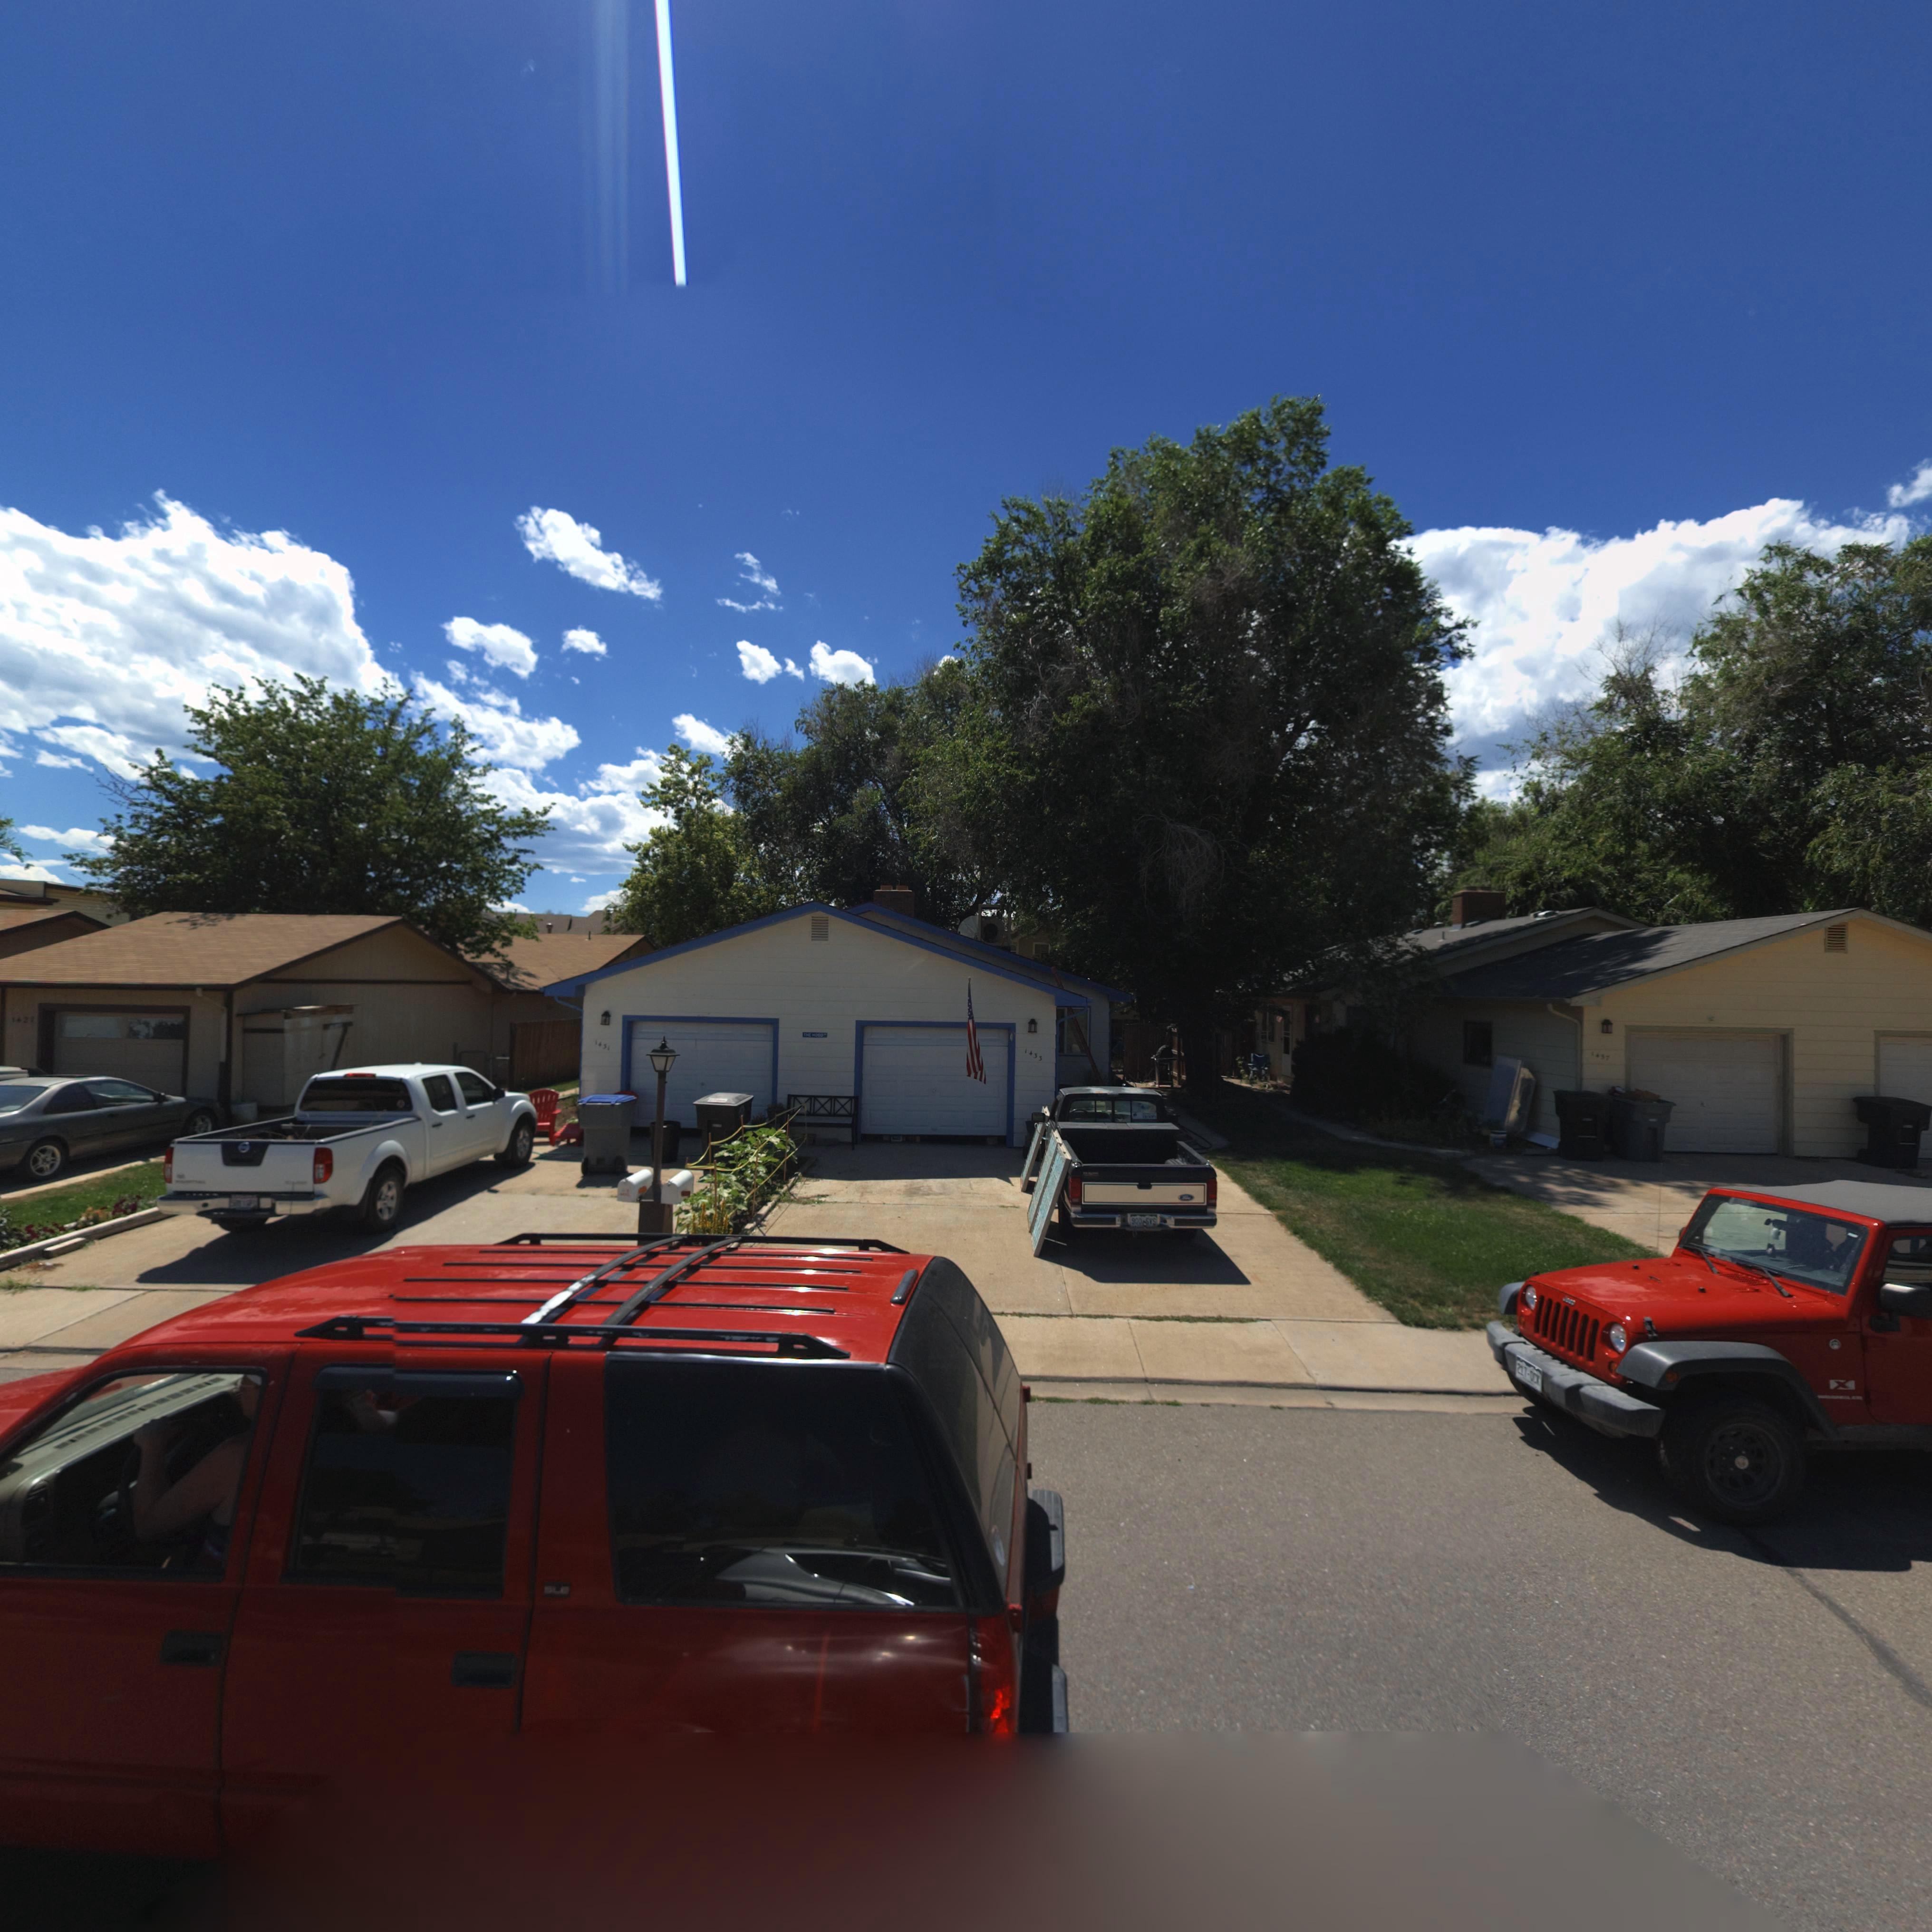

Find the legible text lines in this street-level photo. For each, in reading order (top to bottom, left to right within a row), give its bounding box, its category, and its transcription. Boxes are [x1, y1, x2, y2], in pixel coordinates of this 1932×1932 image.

[595, 1039, 610, 1051] StreetNumber: 1431
[1024, 1049, 1043, 1061] StreetNumber: 1433
[1591, 1050, 1610, 1061] StreetNumber: 1437